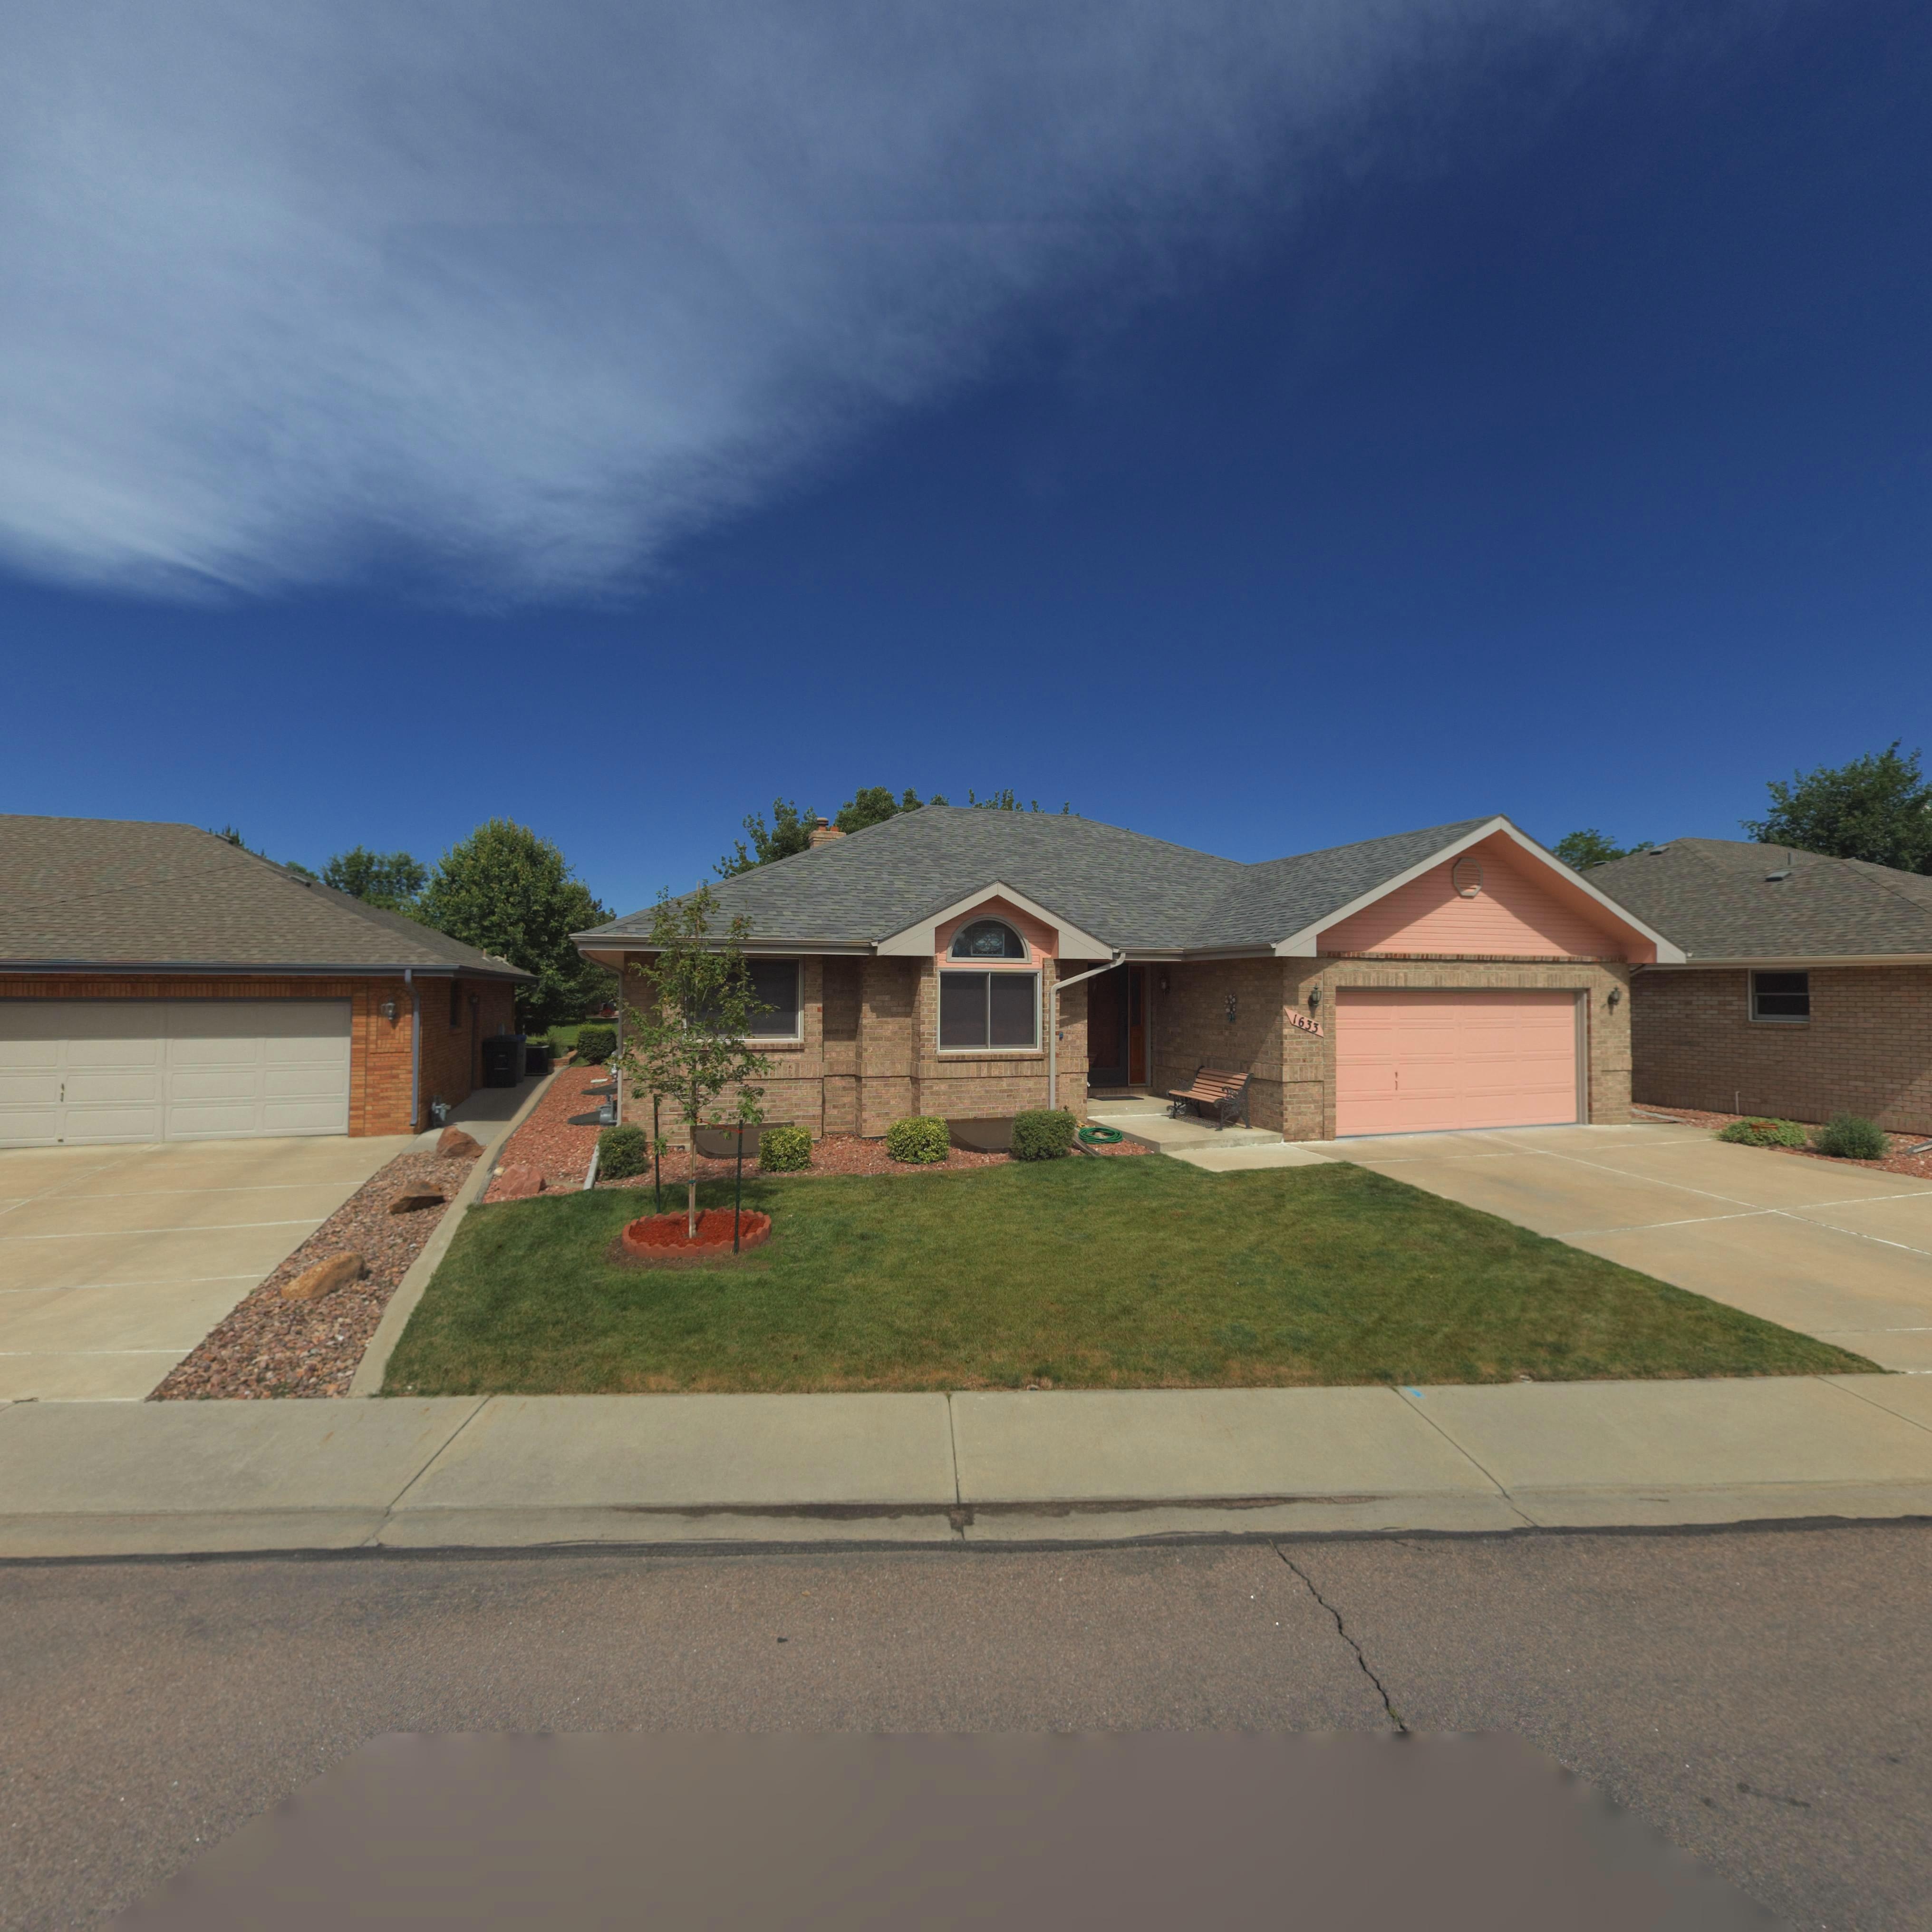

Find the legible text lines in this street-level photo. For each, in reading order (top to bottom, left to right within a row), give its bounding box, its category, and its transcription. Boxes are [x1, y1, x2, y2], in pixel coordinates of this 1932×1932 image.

[1292, 1014, 1319, 1033] StreetNumber: 1633